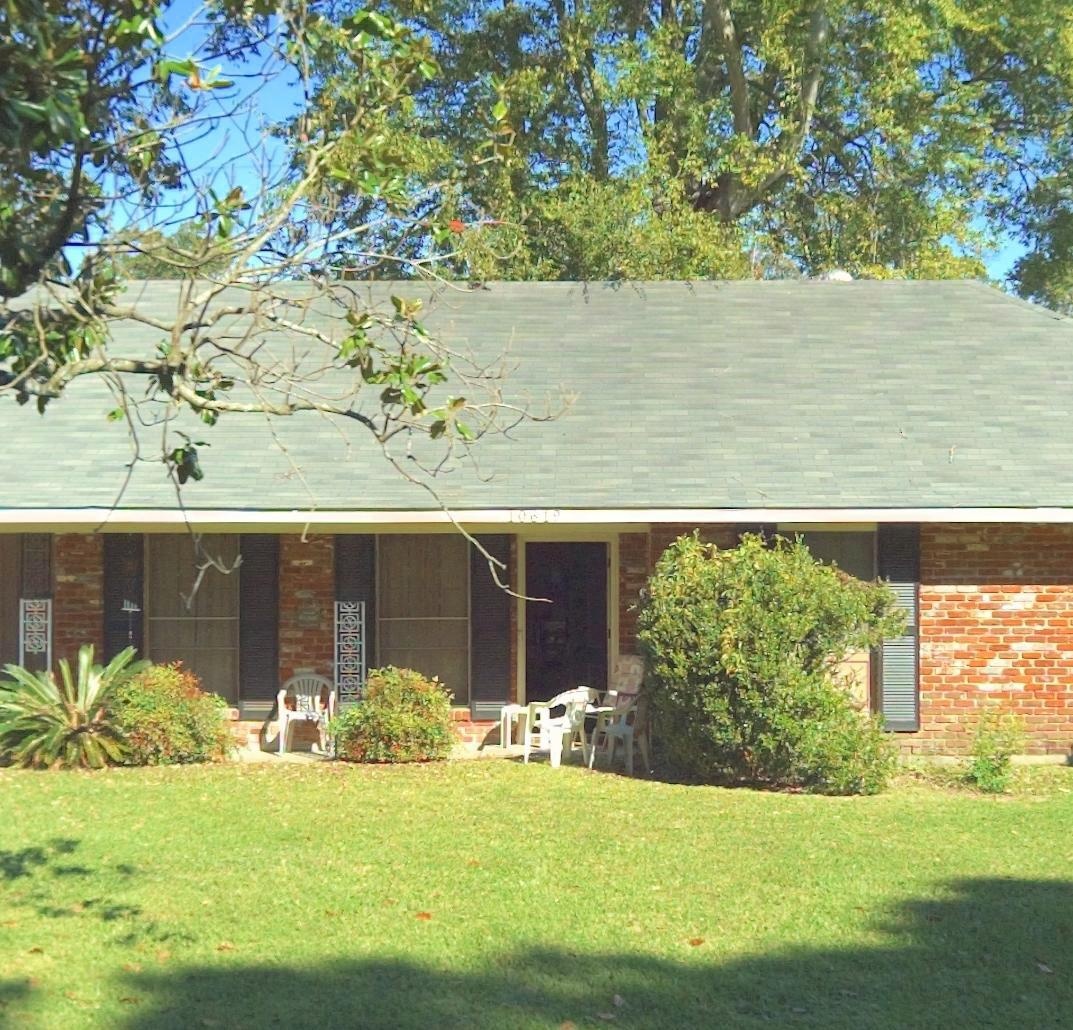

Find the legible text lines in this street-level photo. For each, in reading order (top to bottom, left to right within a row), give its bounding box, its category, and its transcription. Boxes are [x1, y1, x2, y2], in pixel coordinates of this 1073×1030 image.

[507, 508, 562, 524] StreetNumber: 10619